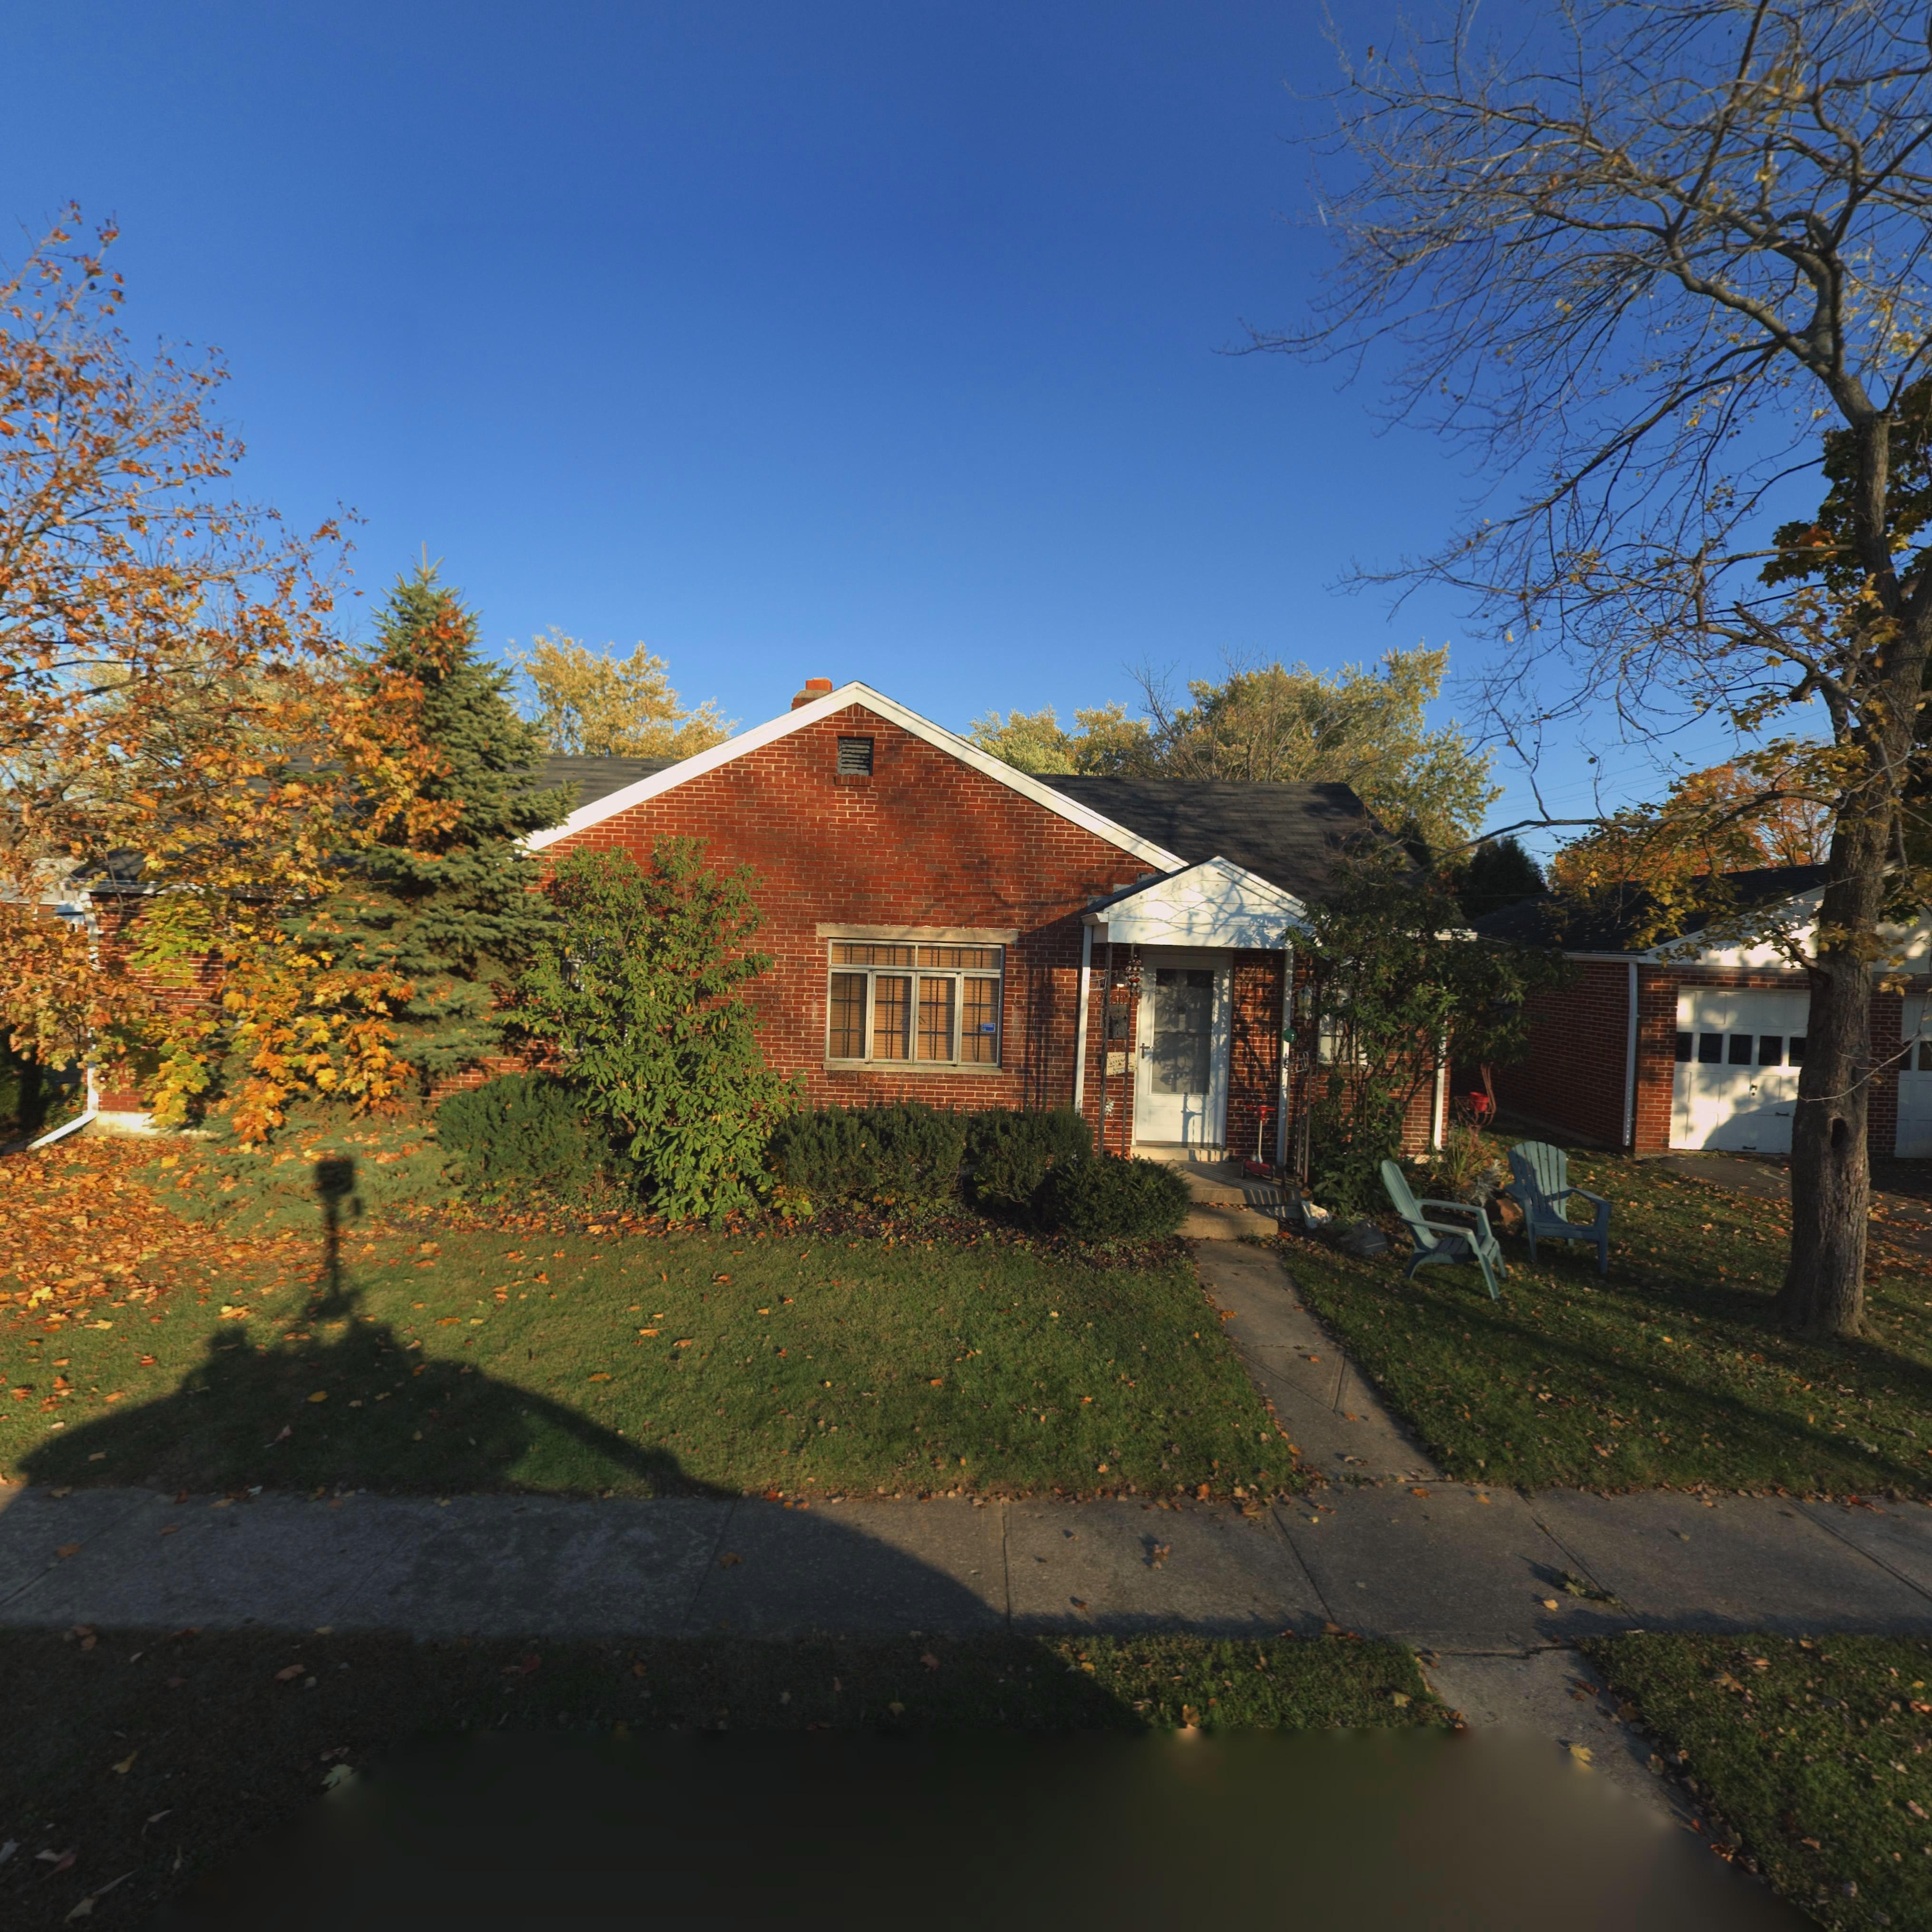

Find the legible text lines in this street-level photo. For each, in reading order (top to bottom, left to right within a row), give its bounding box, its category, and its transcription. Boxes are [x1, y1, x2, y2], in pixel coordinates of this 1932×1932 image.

[1096, 994, 1125, 1005] StreetNumber: 3*50